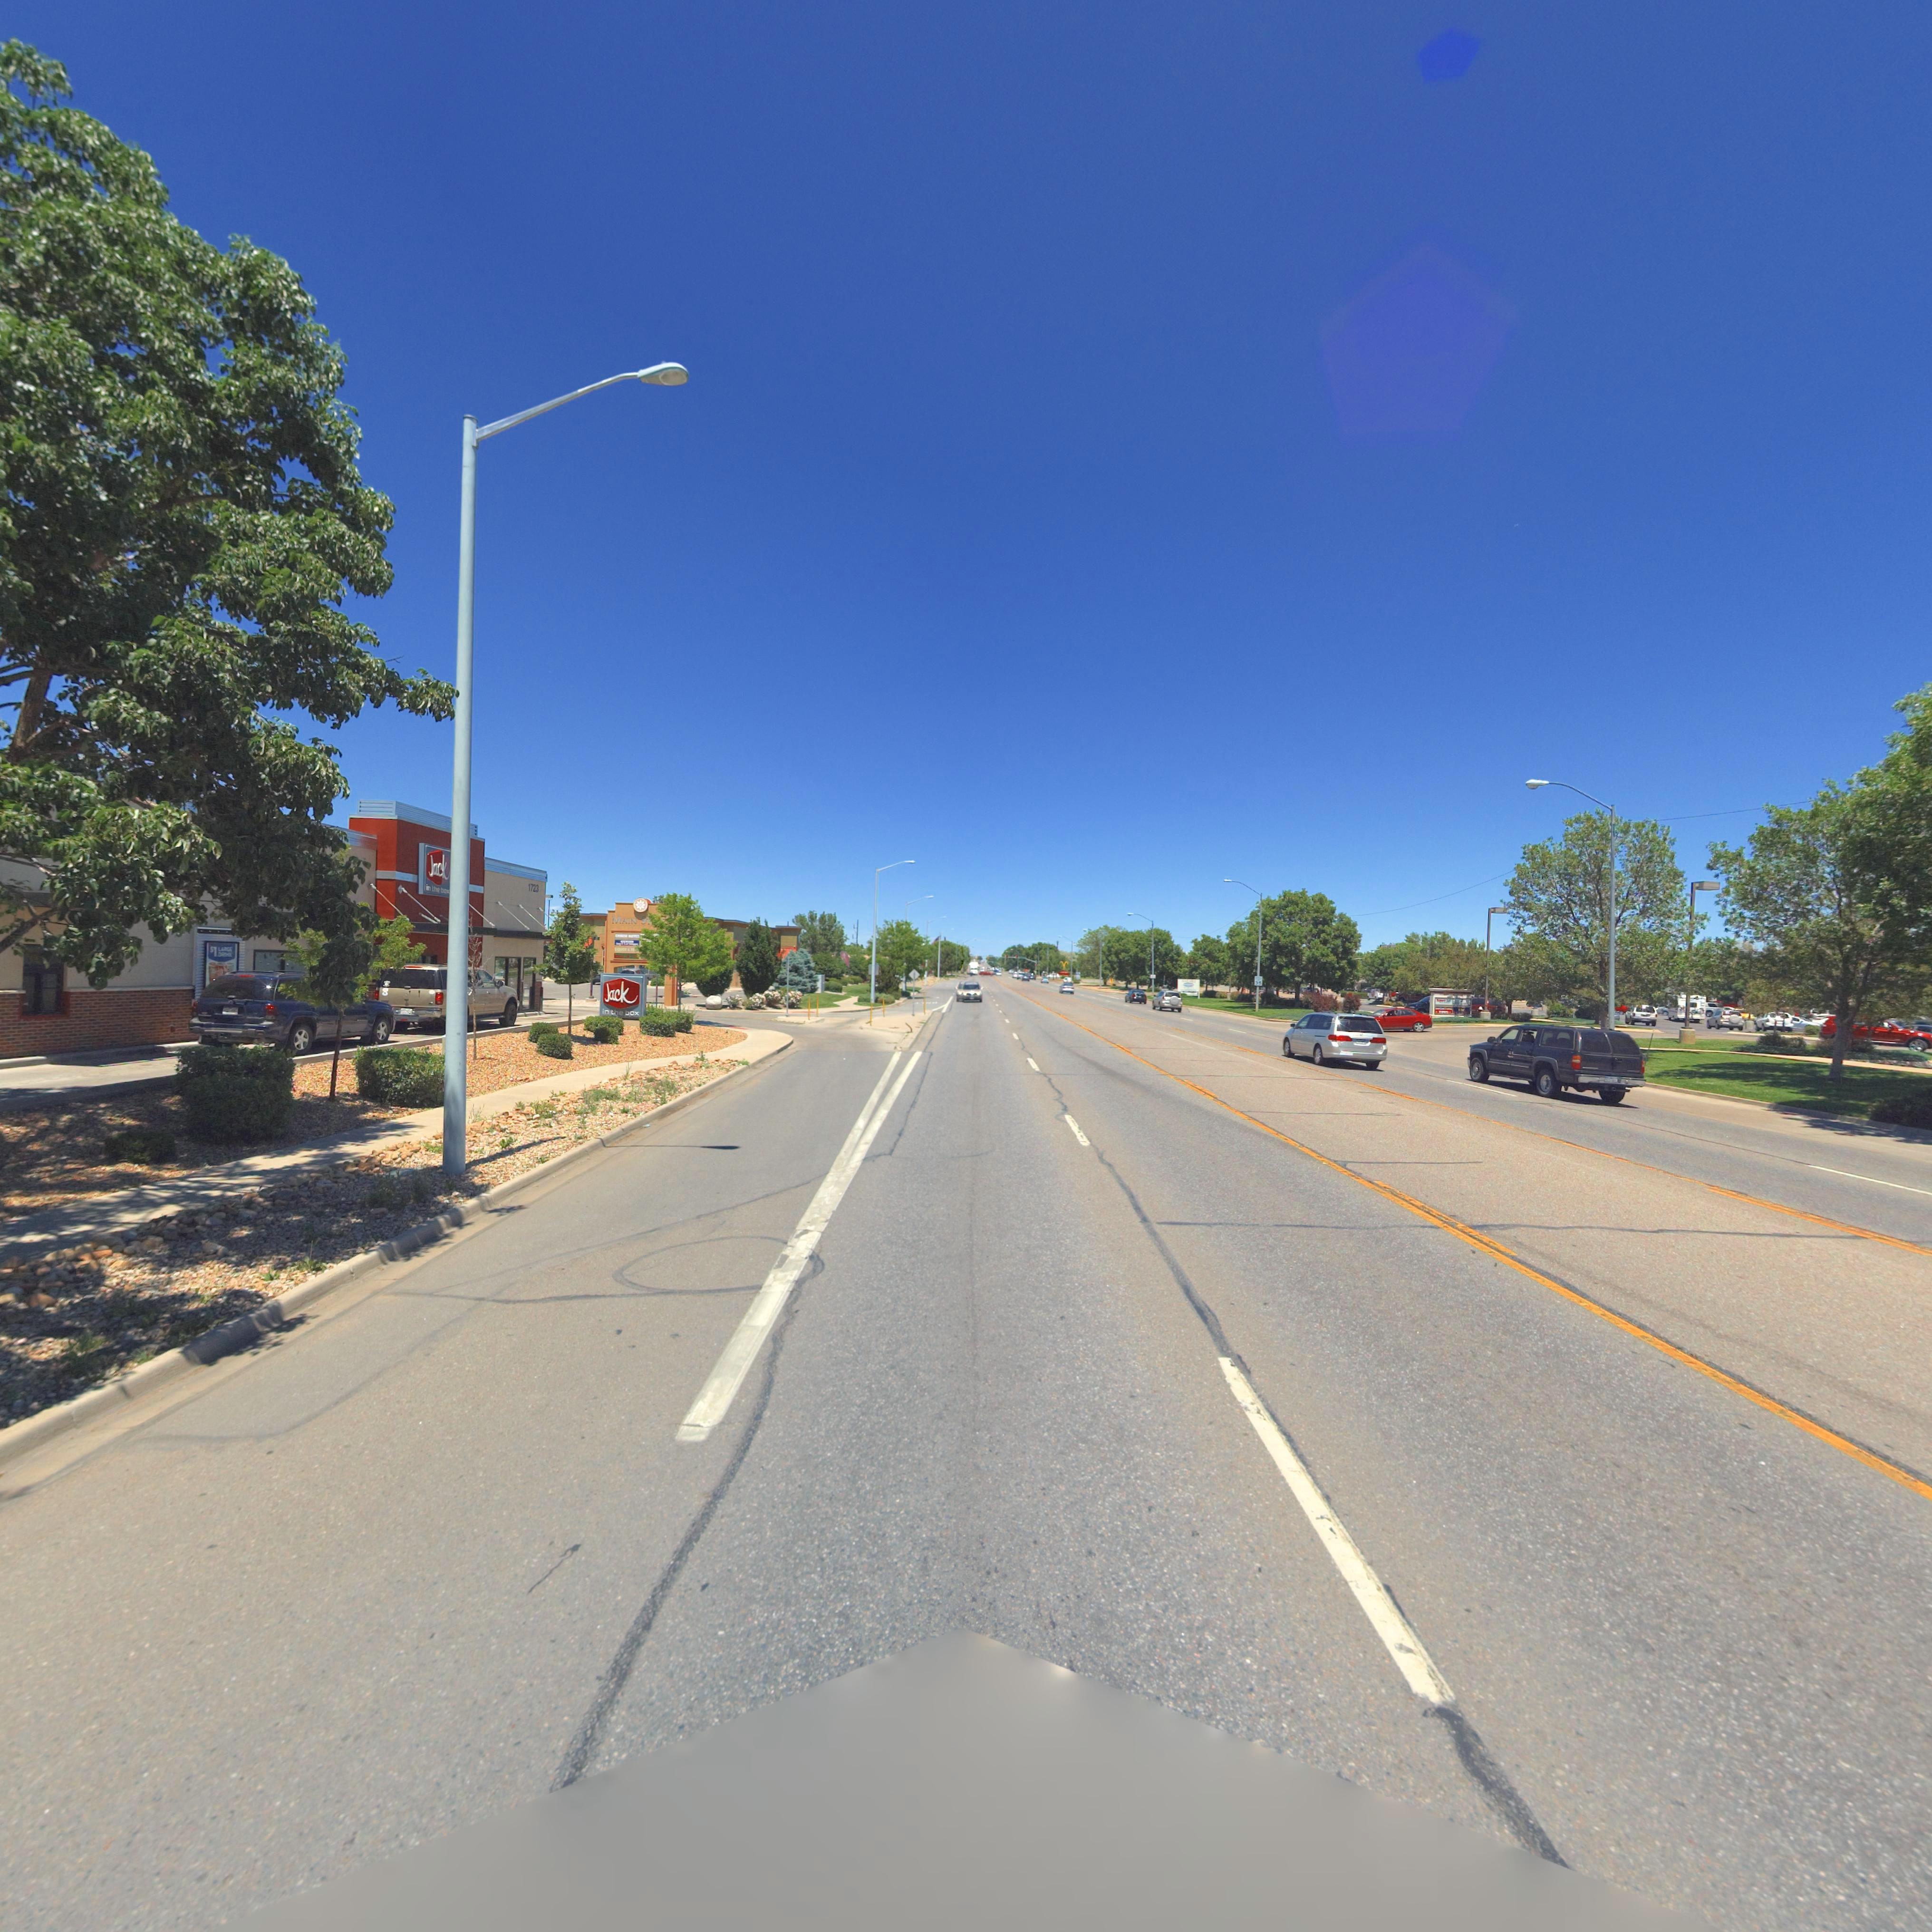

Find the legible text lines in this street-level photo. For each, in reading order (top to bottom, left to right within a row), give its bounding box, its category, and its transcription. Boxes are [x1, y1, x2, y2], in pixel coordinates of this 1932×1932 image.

[428, 853, 450, 880] BusinessName: Jack
[425, 883, 449, 894] BusinessName: in the box
[528, 883, 539, 892] StreetNumber: 1723
[615, 934, 639, 938] BusinessName: CHINESE BUFFET
[615, 942, 638, 946] BusinessName: Dog & Cat Shoppe
[604, 981, 638, 1004] BusinessName: Jack
[602, 1008, 639, 1016] BusinessName: in the box
[1438, 1010, 1449, 1014] BusinessName: V***O